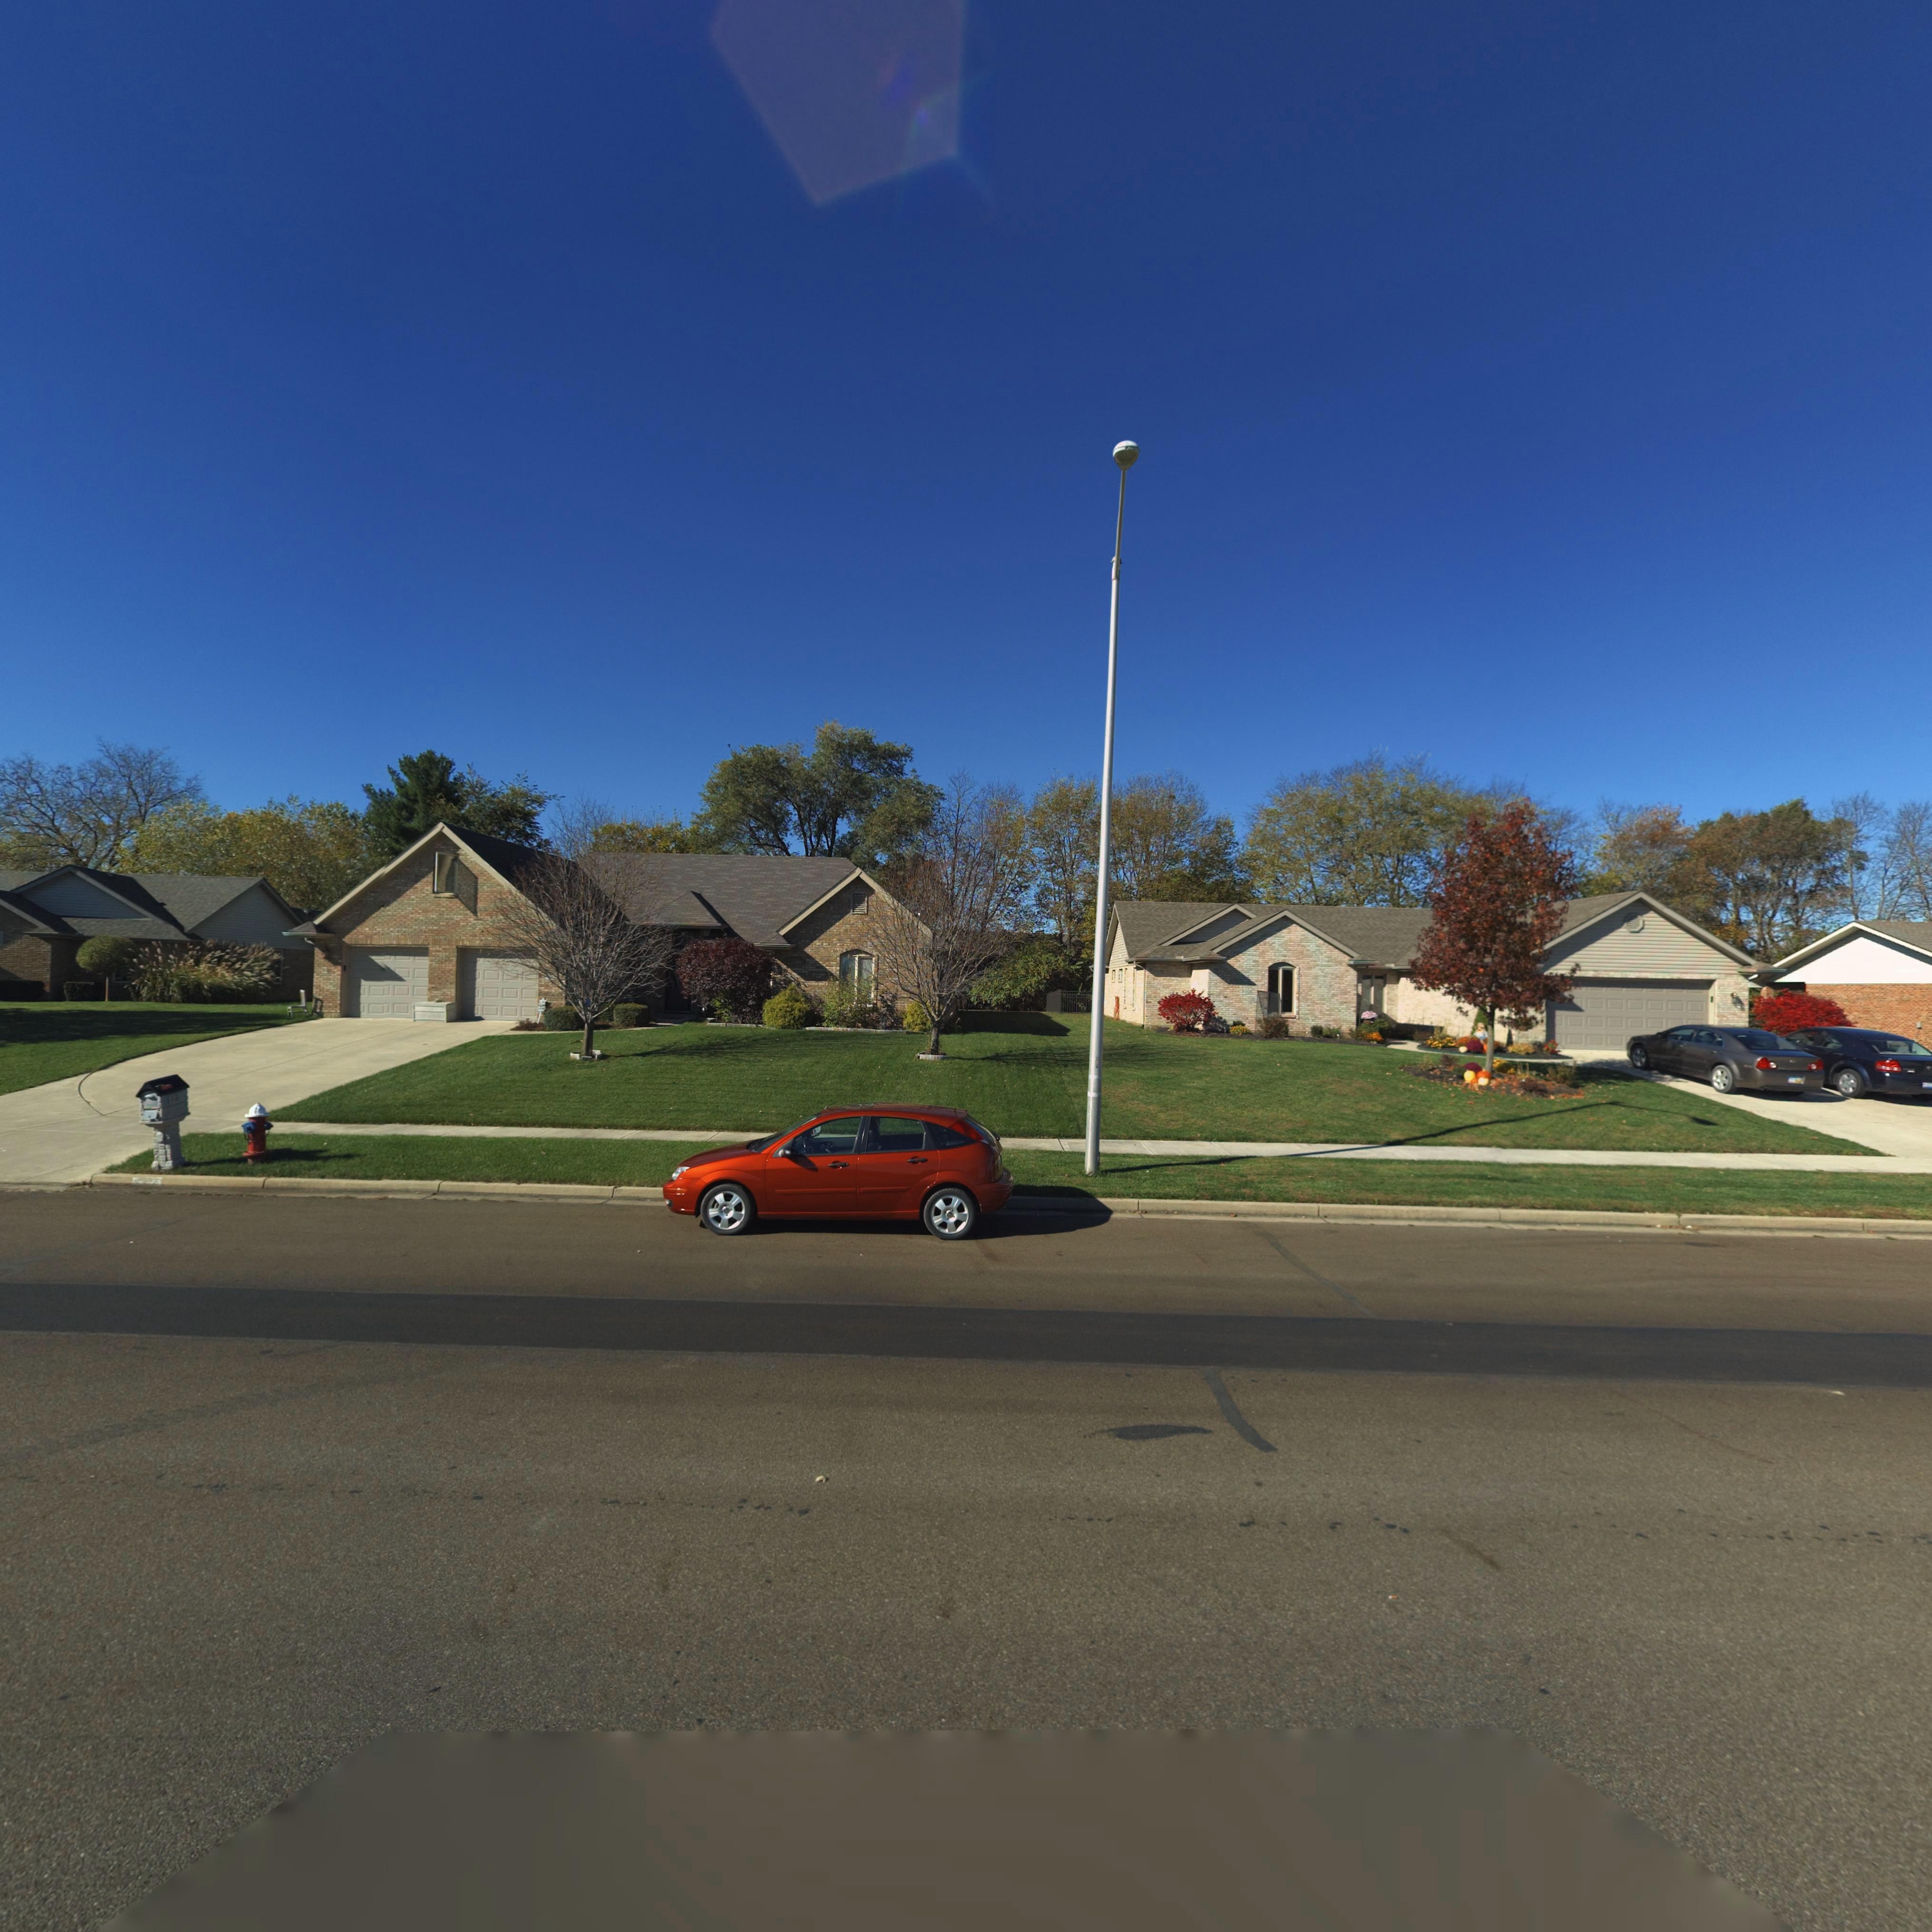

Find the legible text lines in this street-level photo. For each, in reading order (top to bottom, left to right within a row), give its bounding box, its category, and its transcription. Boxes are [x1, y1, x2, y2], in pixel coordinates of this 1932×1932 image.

[170, 1094, 180, 1103] StreetNumber: 3*1